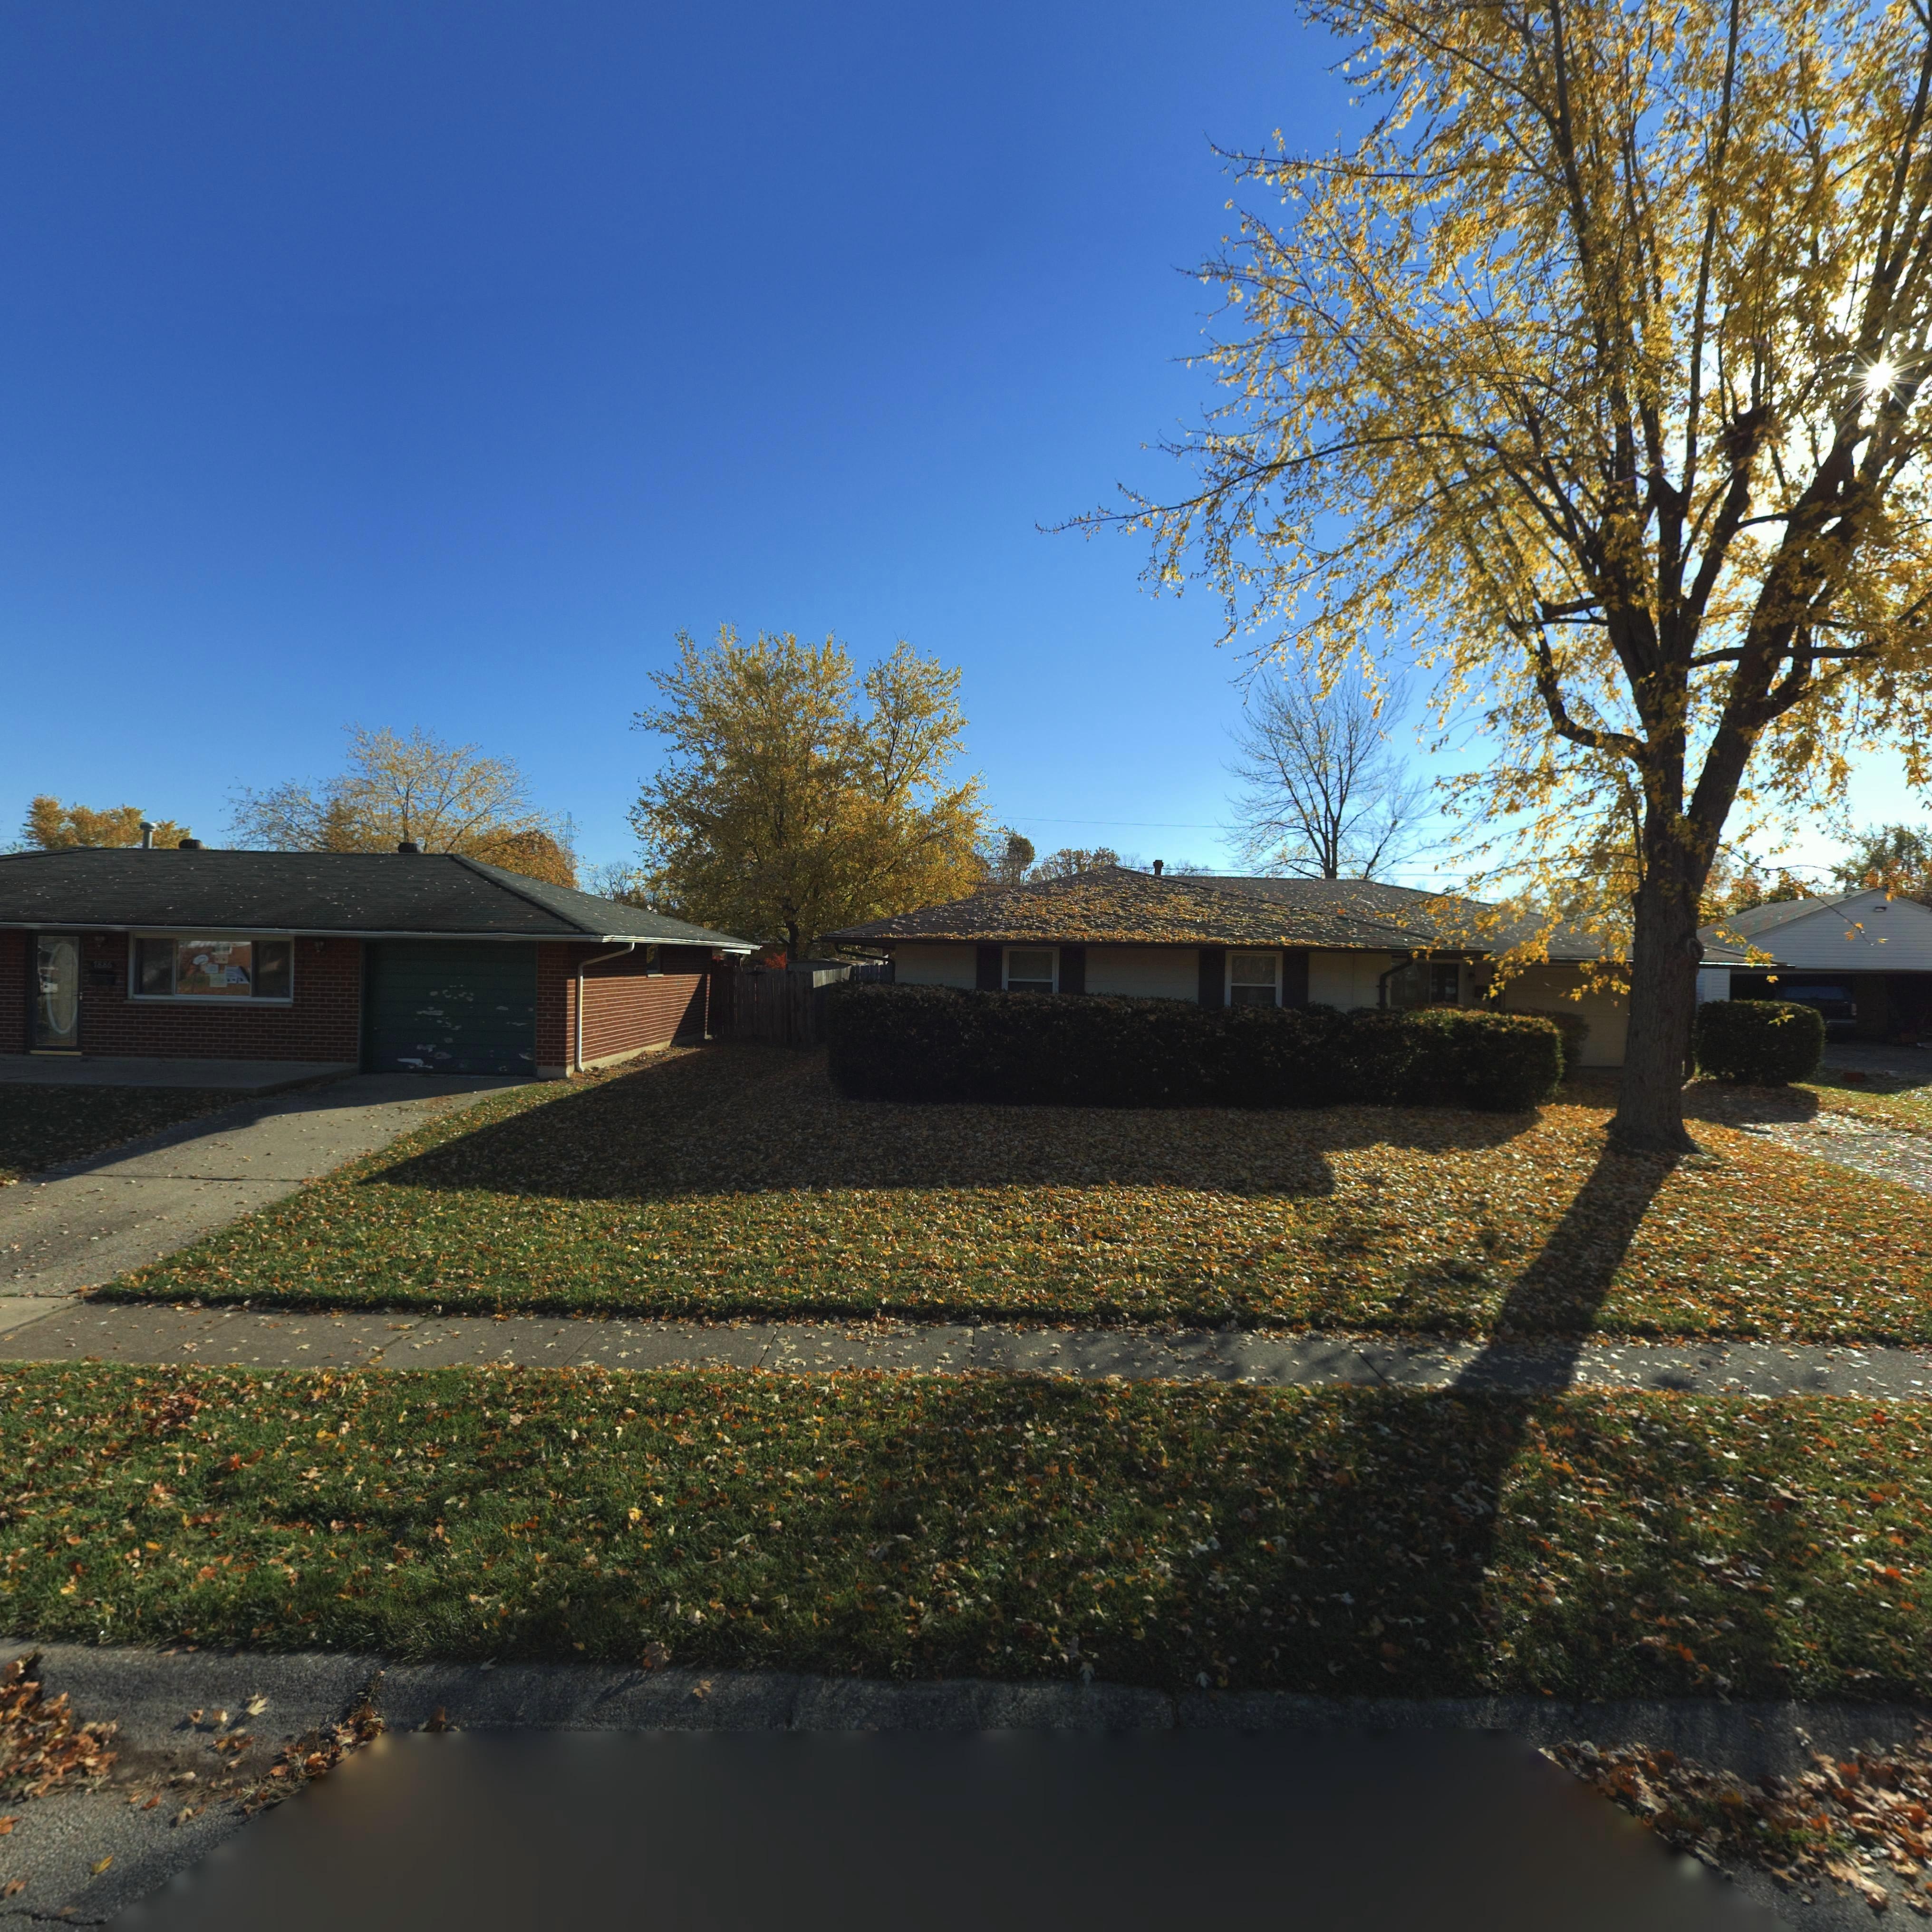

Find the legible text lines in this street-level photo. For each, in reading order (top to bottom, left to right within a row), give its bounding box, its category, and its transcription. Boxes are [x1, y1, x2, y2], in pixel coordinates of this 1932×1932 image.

[93, 960, 113, 969] StreetNumber: 7886